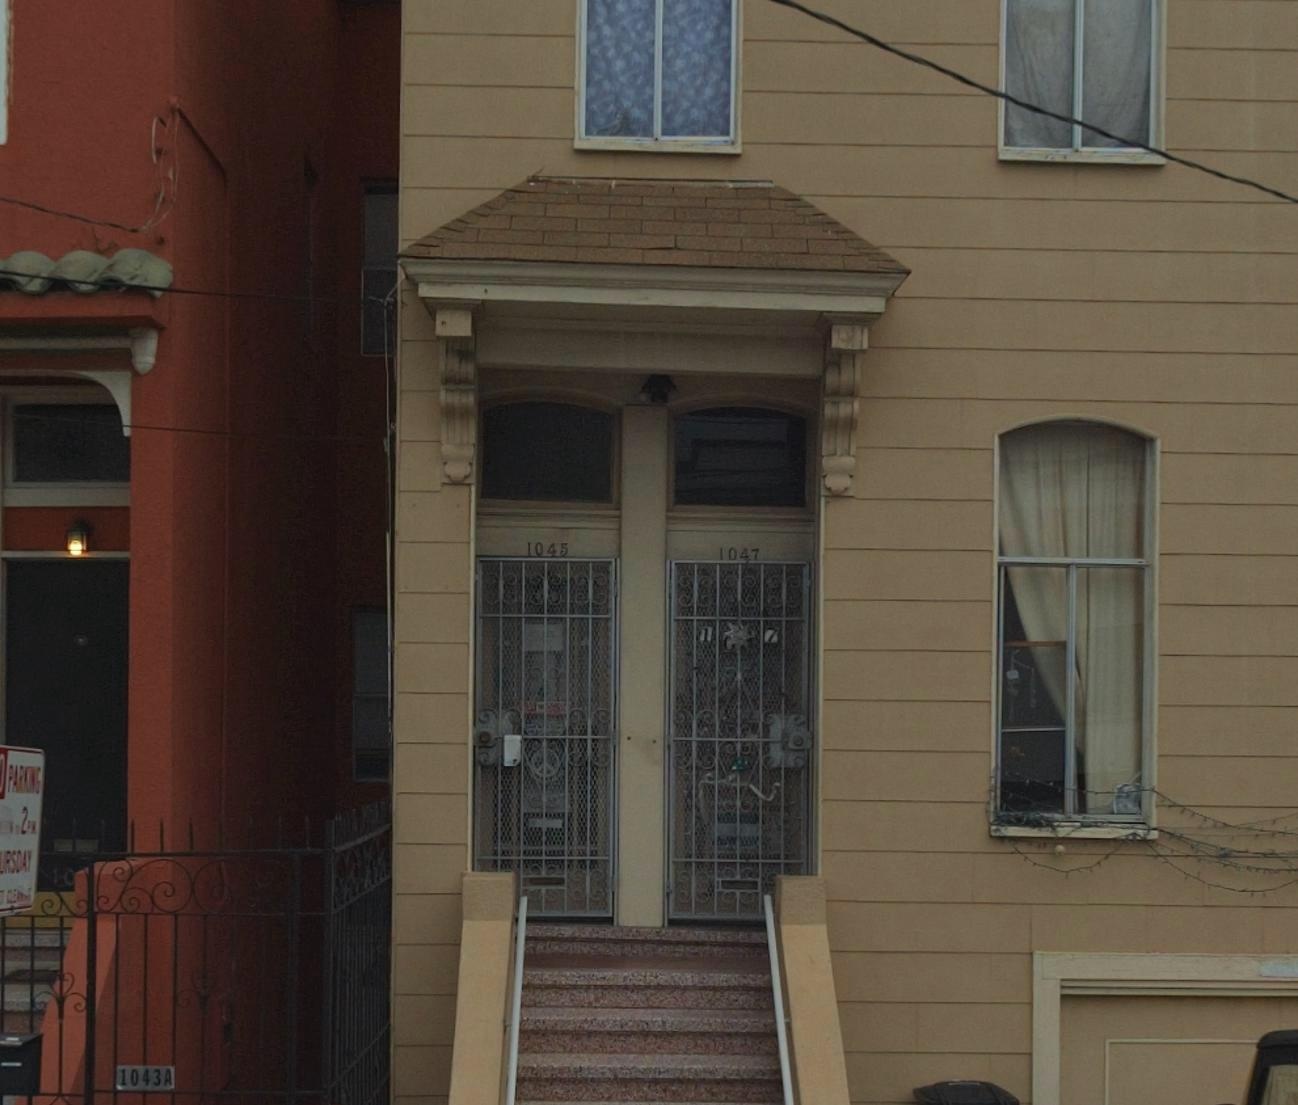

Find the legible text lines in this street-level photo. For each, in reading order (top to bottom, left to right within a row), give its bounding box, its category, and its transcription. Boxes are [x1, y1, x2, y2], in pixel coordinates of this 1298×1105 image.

[525, 541, 570, 558] StreetNumber: 1045
[718, 546, 761, 561] StreetNumber: 1047
[6, 762, 43, 795] None: PARKING
[19, 804, 30, 835] None: 2
[3, 849, 35, 875] None: RSDAY
[117, 1066, 174, 1089] StreetNumber: 1043A